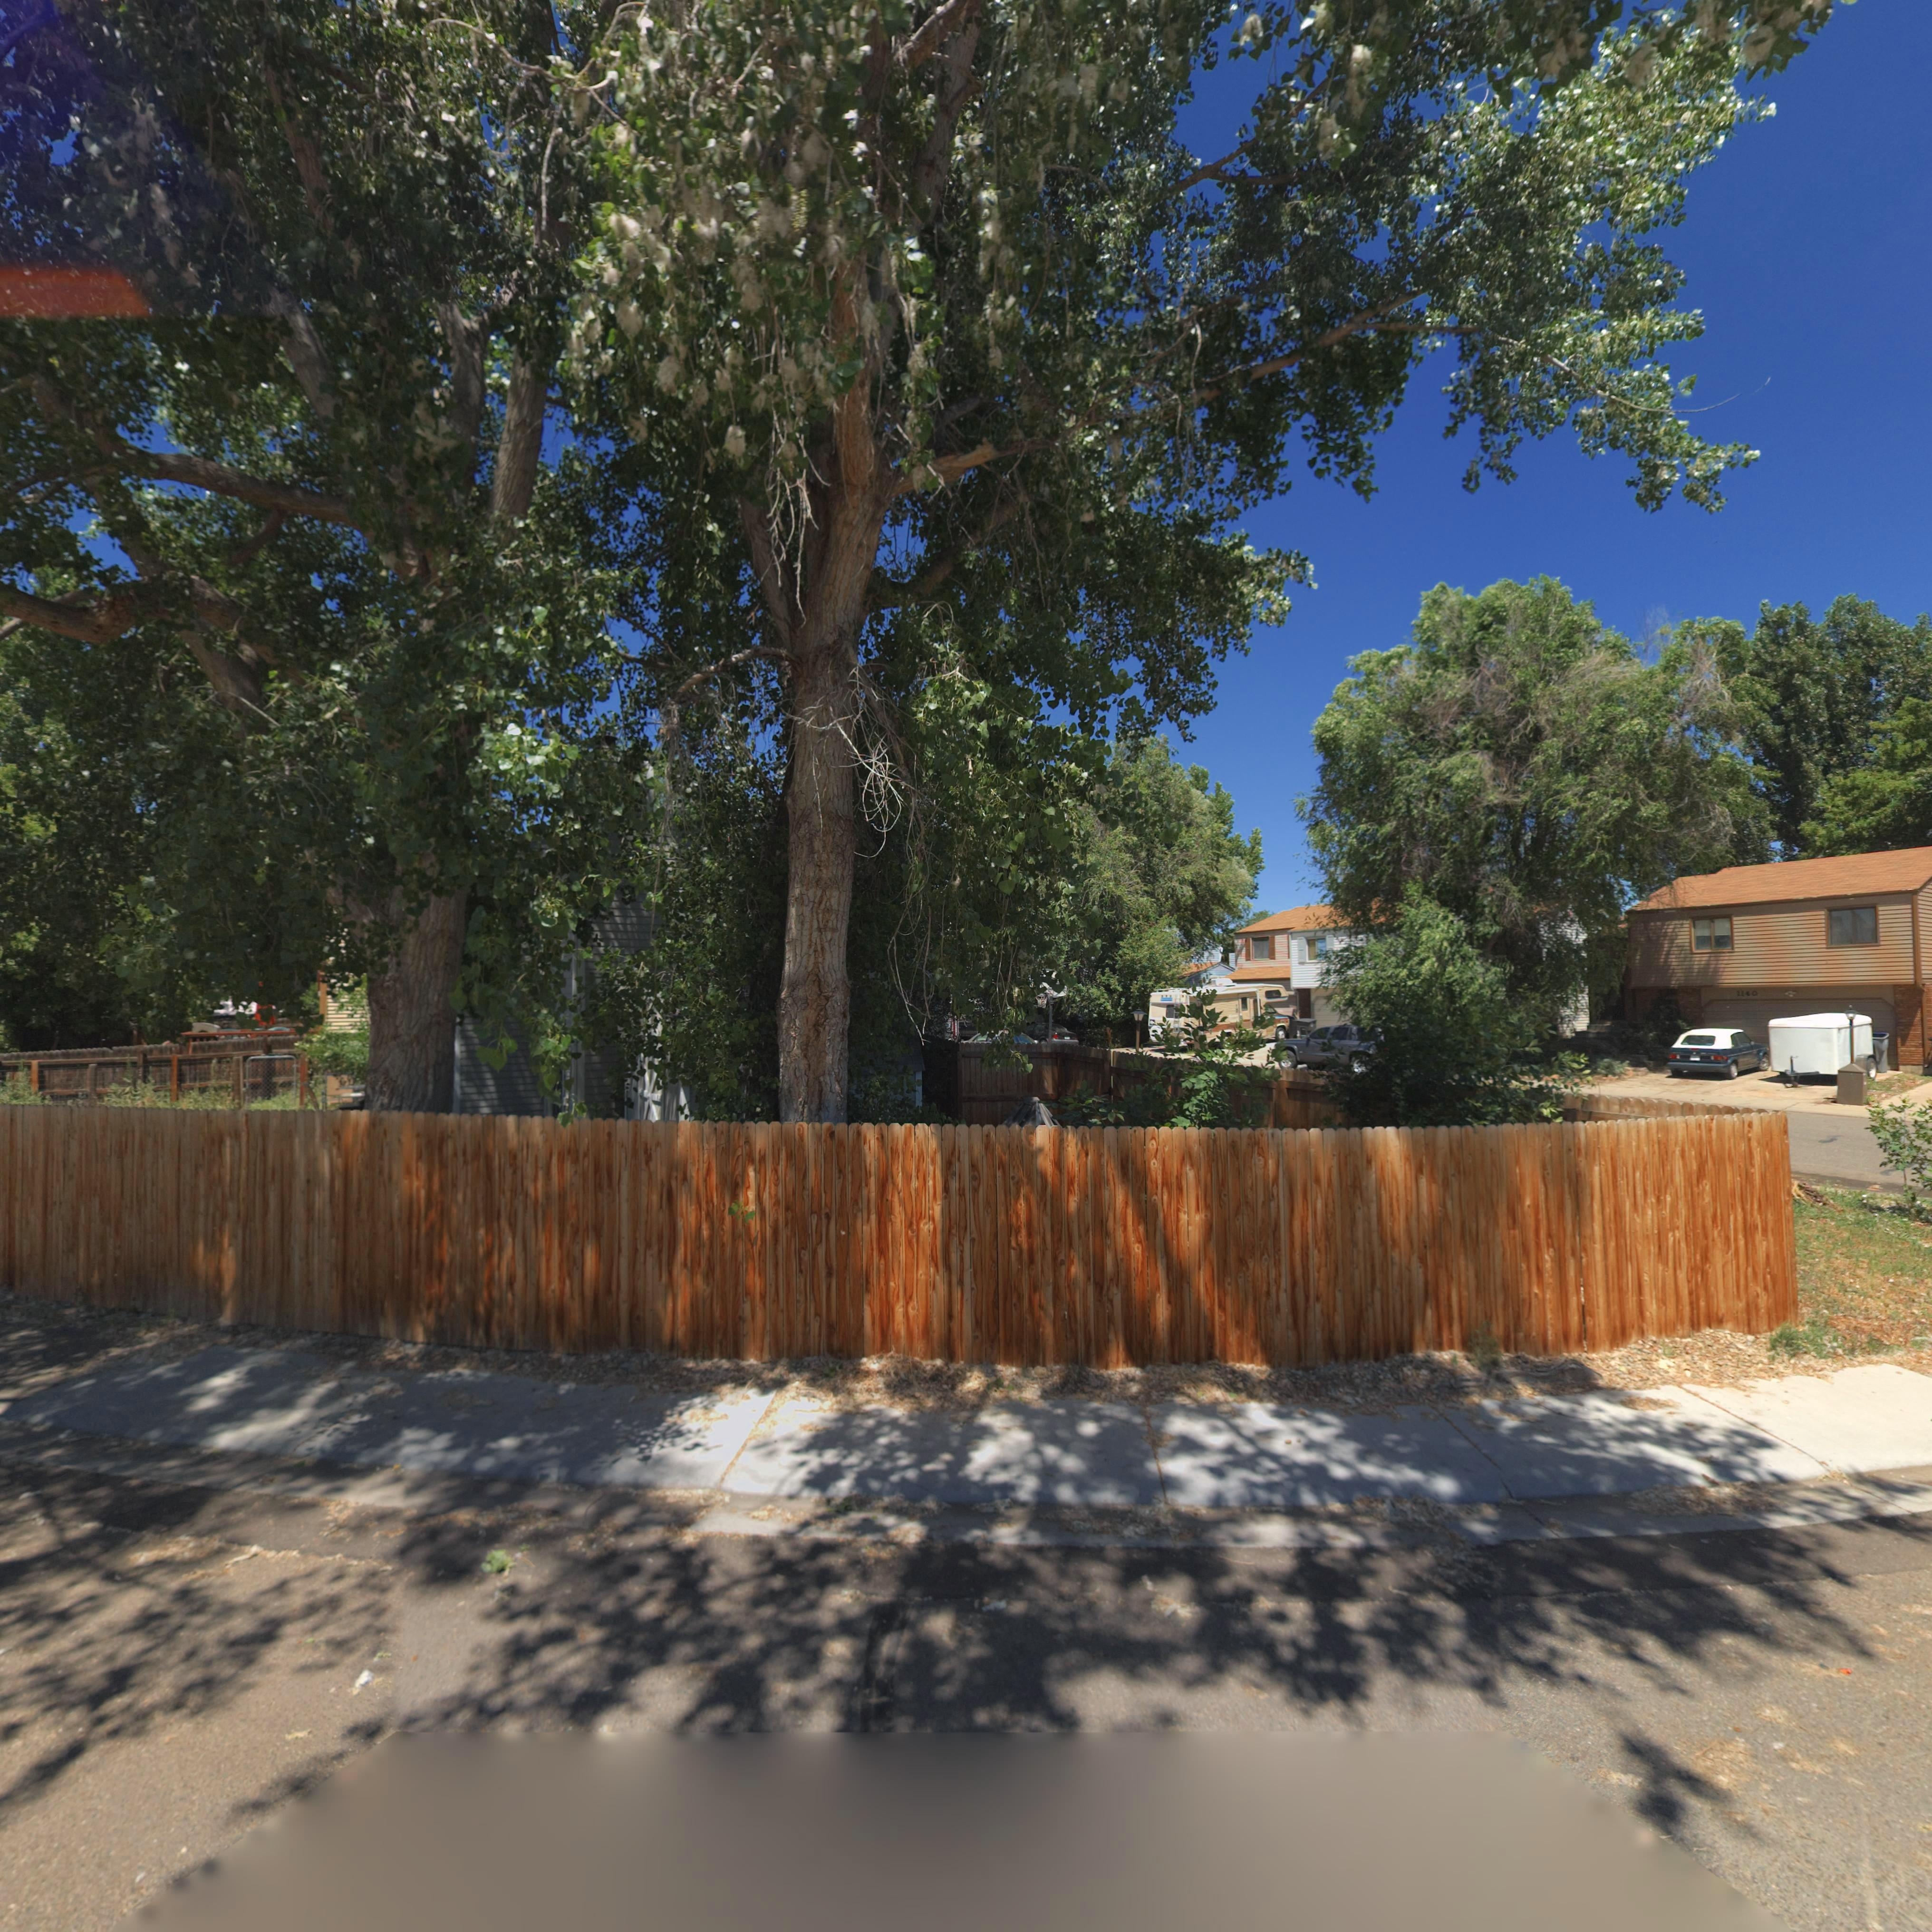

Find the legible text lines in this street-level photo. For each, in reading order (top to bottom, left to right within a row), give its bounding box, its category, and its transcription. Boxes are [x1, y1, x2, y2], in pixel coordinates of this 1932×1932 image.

[1736, 990, 1758, 997] StreetNumber: 1140